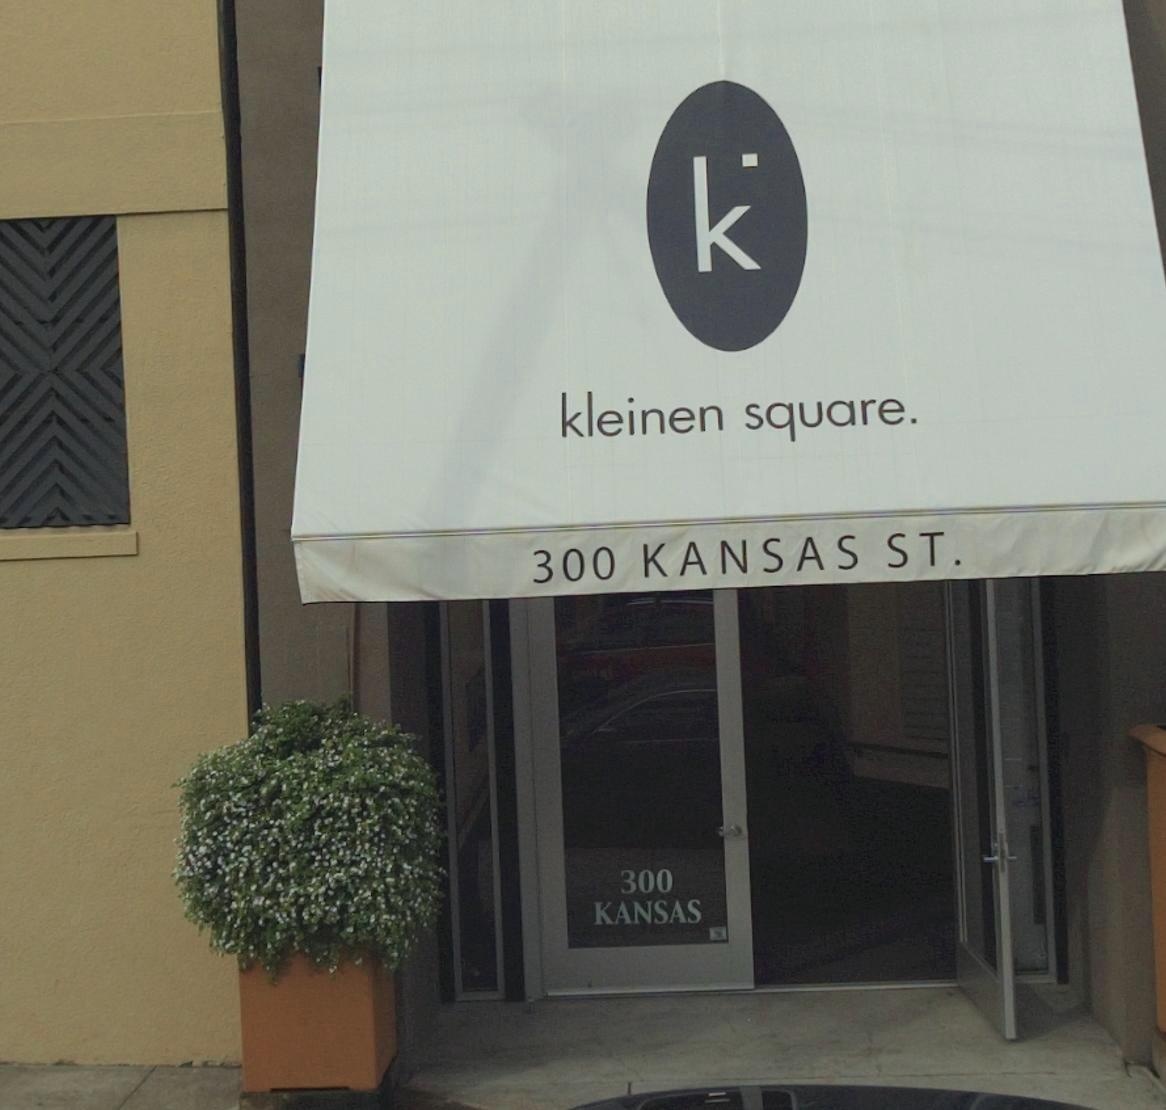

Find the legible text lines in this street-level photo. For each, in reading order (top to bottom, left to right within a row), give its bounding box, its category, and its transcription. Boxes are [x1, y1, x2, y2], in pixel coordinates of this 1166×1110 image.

[690, 154, 765, 276] None: k
[561, 390, 921, 444] BusinessName: kleinen square.
[531, 544, 618, 585] StreetNumber: 300
[641, 530, 964, 581] StreetName: KANSAS ST.
[619, 867, 675, 896] StreetNumber: 300
[592, 897, 703, 927] StreetName: KANSAS